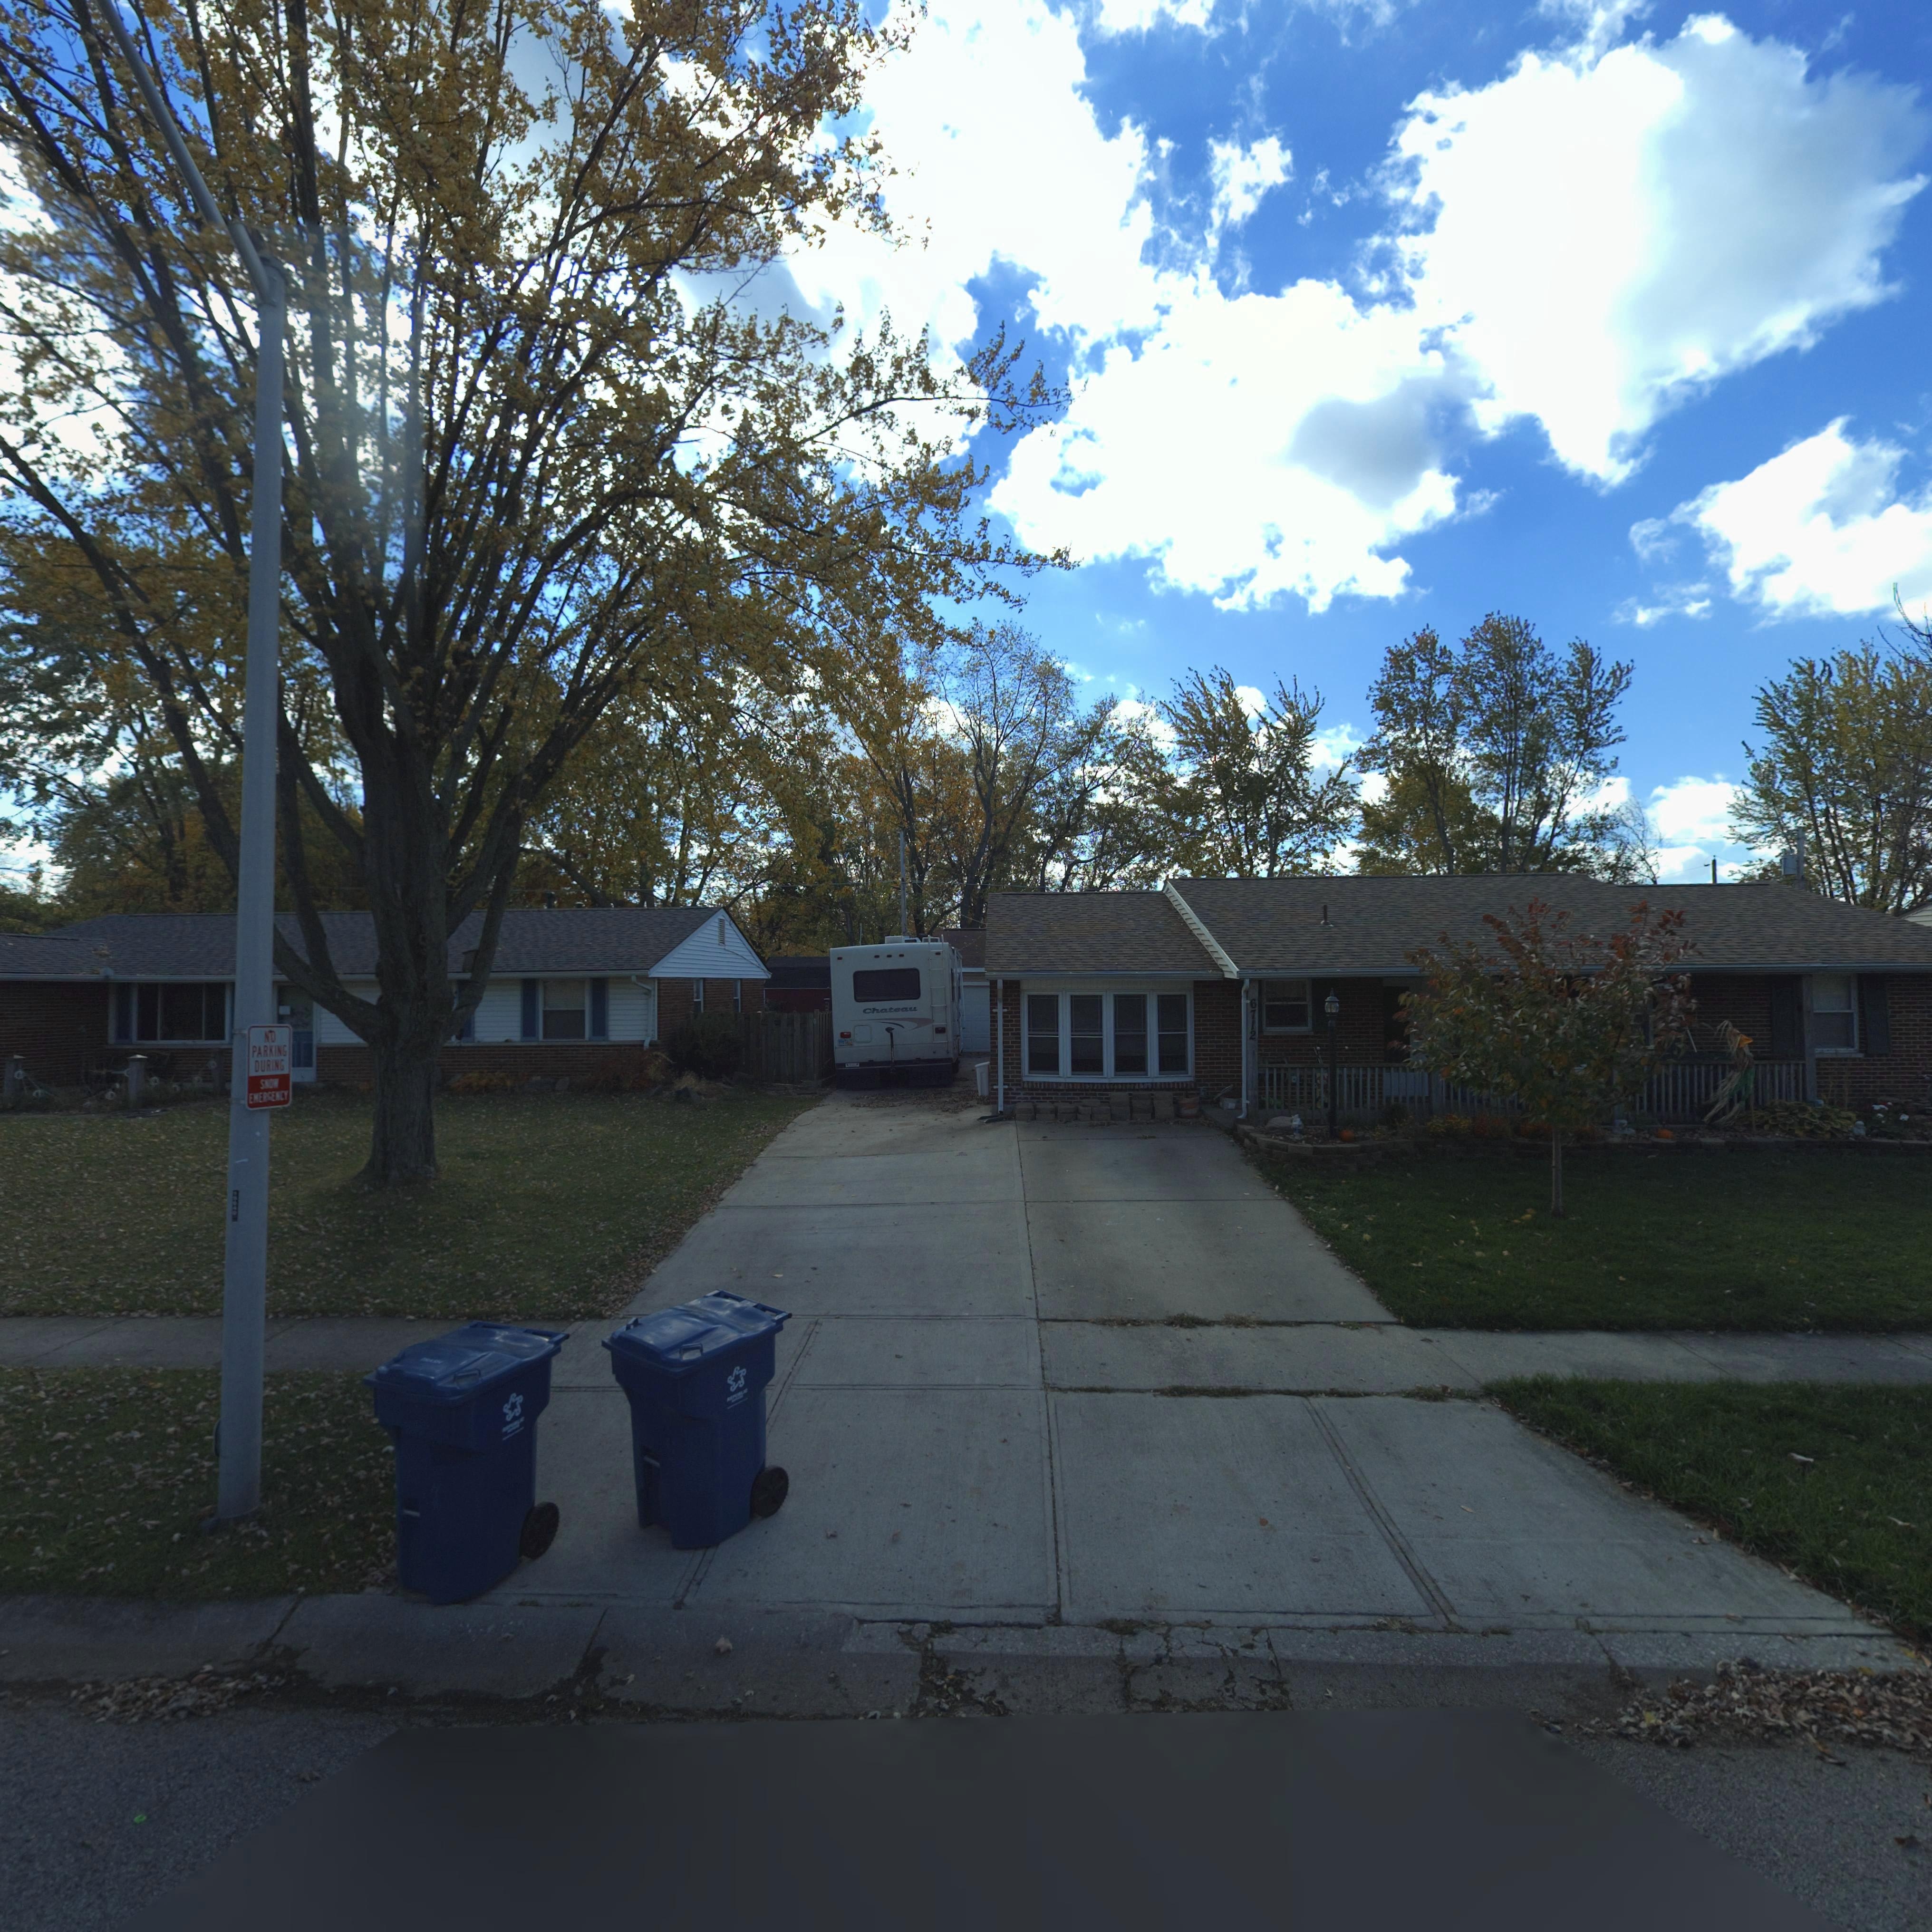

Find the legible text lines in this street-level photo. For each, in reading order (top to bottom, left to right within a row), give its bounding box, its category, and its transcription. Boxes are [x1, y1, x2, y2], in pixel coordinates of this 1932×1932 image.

[1248, 997, 1257, 1040] StreetNumber: 6712